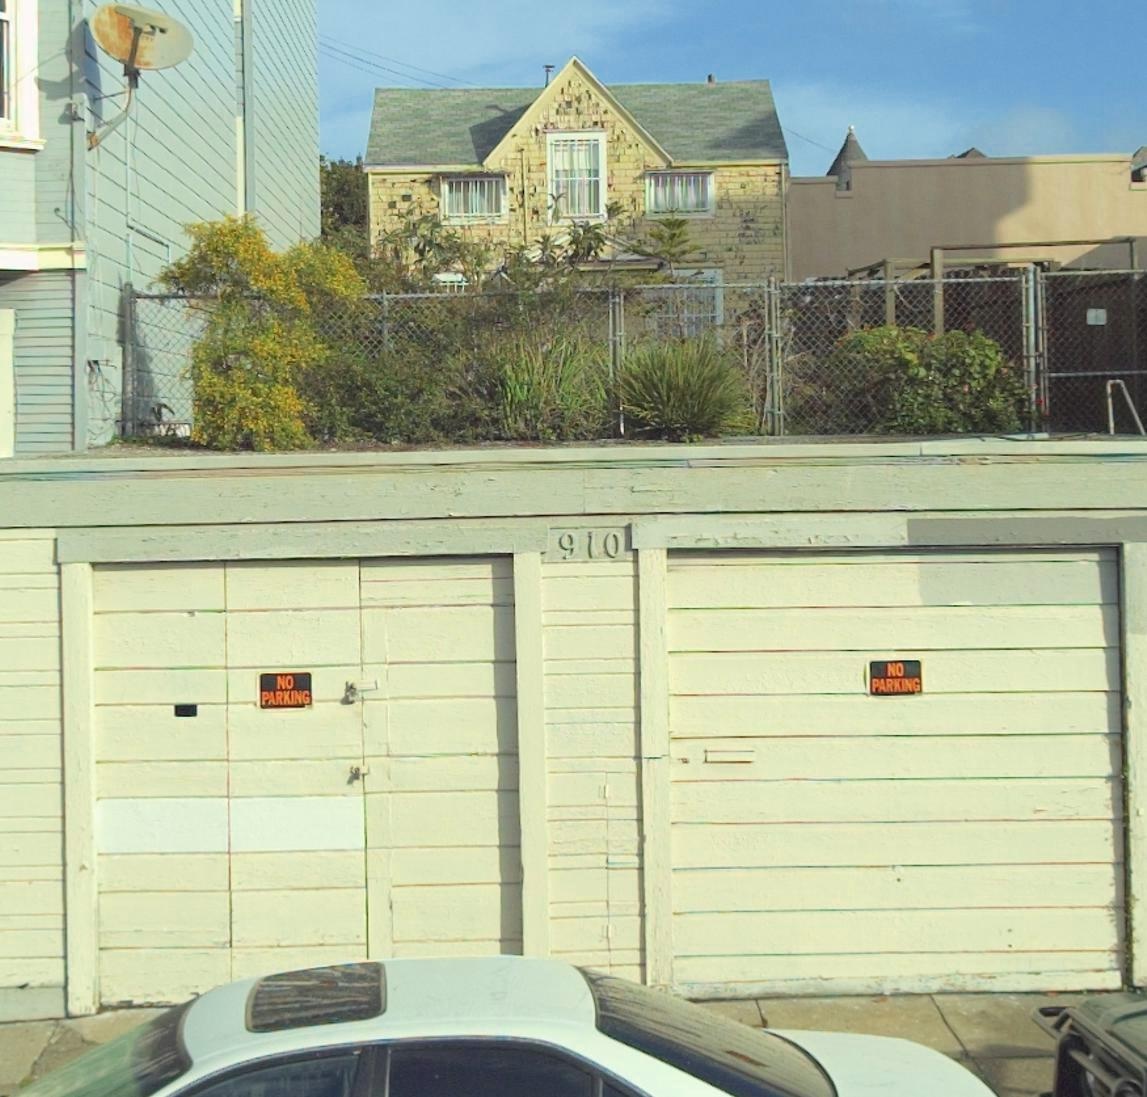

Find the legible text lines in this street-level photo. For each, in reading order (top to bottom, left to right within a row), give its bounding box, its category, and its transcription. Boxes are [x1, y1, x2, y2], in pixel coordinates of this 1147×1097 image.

[559, 529, 626, 561] StreetNumber: 910
[884, 661, 906, 679] None: NO
[275, 673, 296, 691] None: NO
[869, 675, 923, 695] None: PARKING
[259, 687, 312, 708] None: PARKING